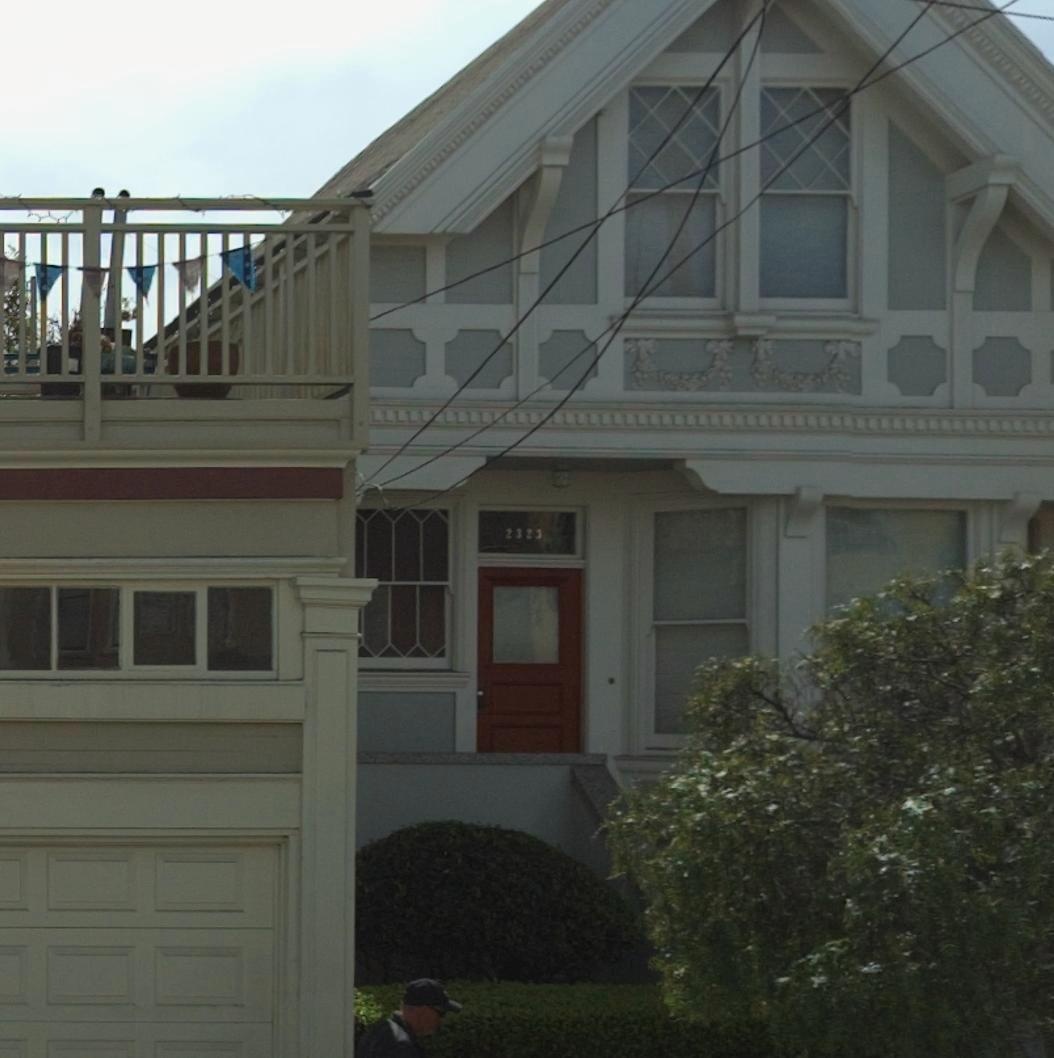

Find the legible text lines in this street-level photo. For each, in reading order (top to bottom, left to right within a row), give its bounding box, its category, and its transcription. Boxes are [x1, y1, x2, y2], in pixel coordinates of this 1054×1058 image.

[503, 526, 545, 542] StreetNumber: 2323